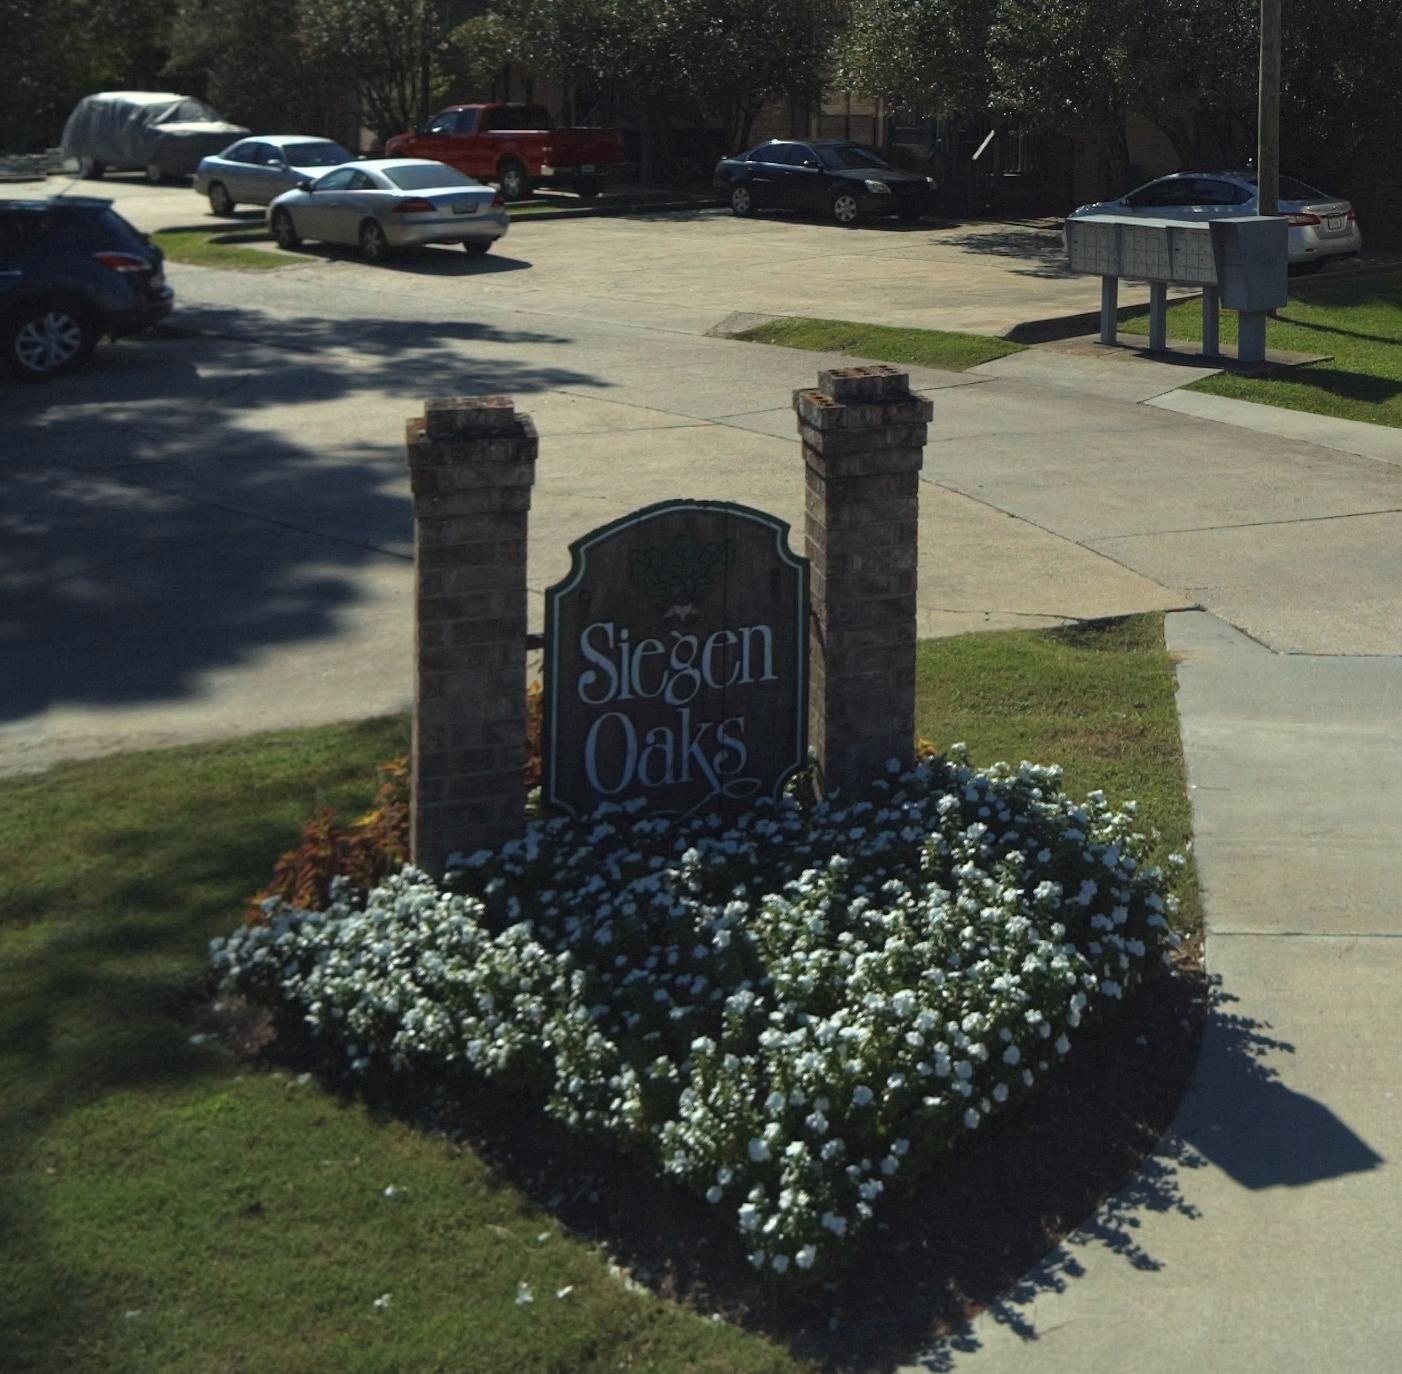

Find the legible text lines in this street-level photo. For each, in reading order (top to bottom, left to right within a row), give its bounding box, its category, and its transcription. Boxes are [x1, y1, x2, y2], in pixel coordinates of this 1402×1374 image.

[575, 620, 782, 710] BusinessName: Siegen
[581, 706, 751, 796] BusinessName: Oaks